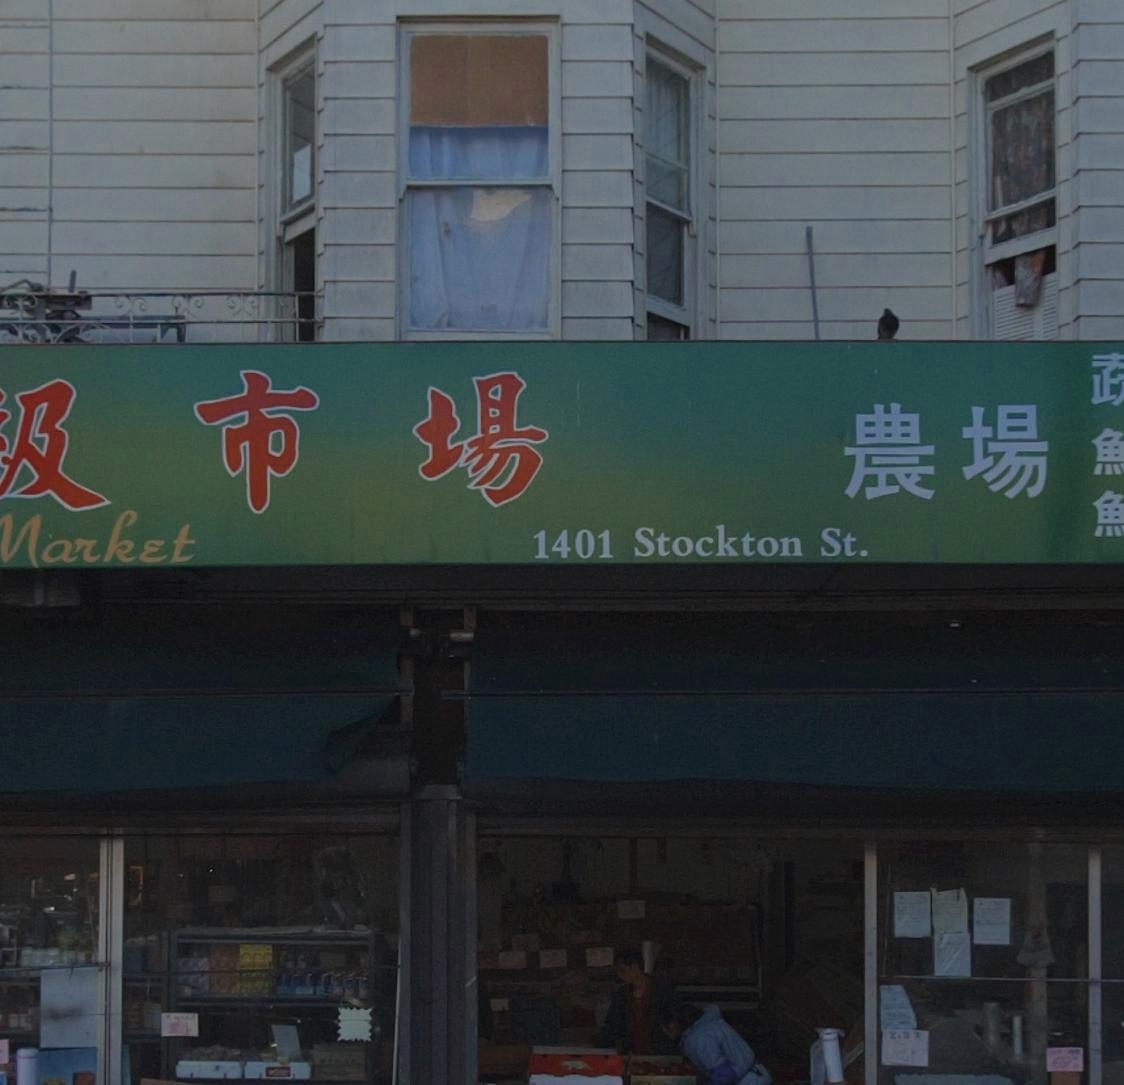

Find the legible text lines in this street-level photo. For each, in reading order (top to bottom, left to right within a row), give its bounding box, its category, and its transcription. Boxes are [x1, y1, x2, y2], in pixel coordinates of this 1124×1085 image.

[39, 507, 203, 564] BusinessName: arket
[531, 528, 615, 560] StreetNumber: 1401
[633, 523, 869, 559] StreetName: Stockton St.